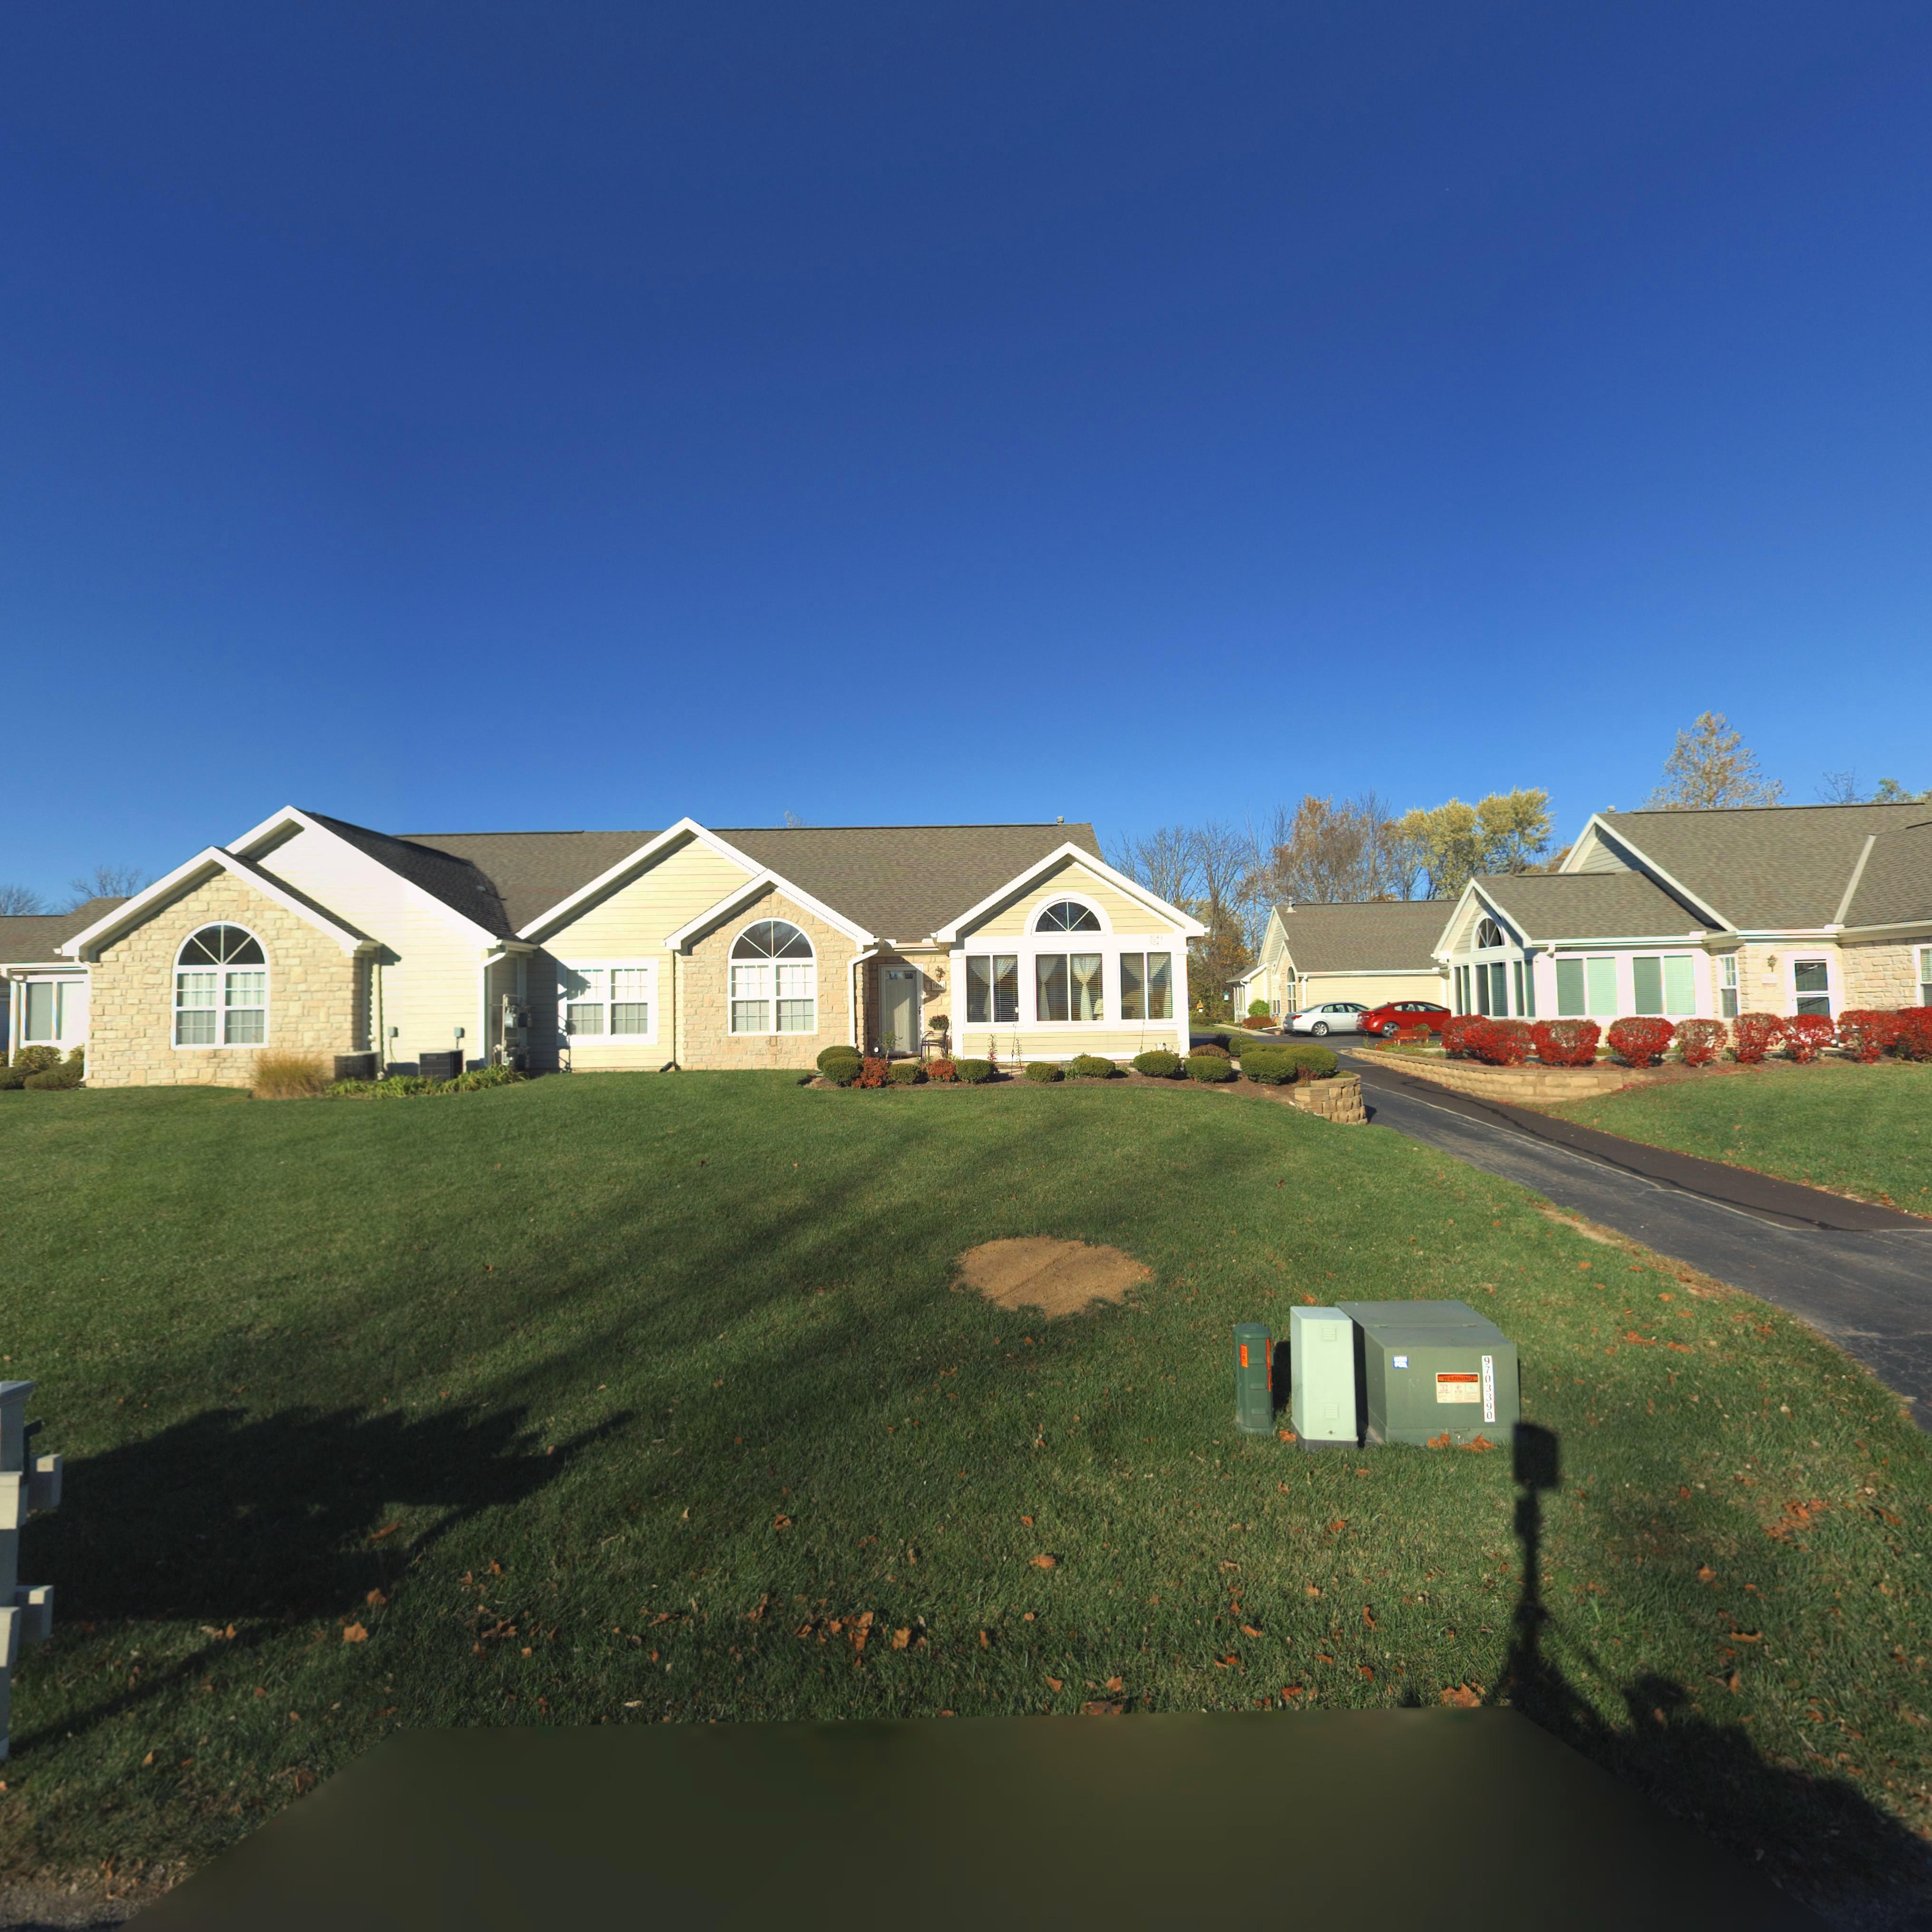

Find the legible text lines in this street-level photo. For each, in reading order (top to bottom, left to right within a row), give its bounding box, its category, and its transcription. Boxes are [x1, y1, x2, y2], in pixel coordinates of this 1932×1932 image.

[932, 982, 945, 989] StreetNumber: 504*